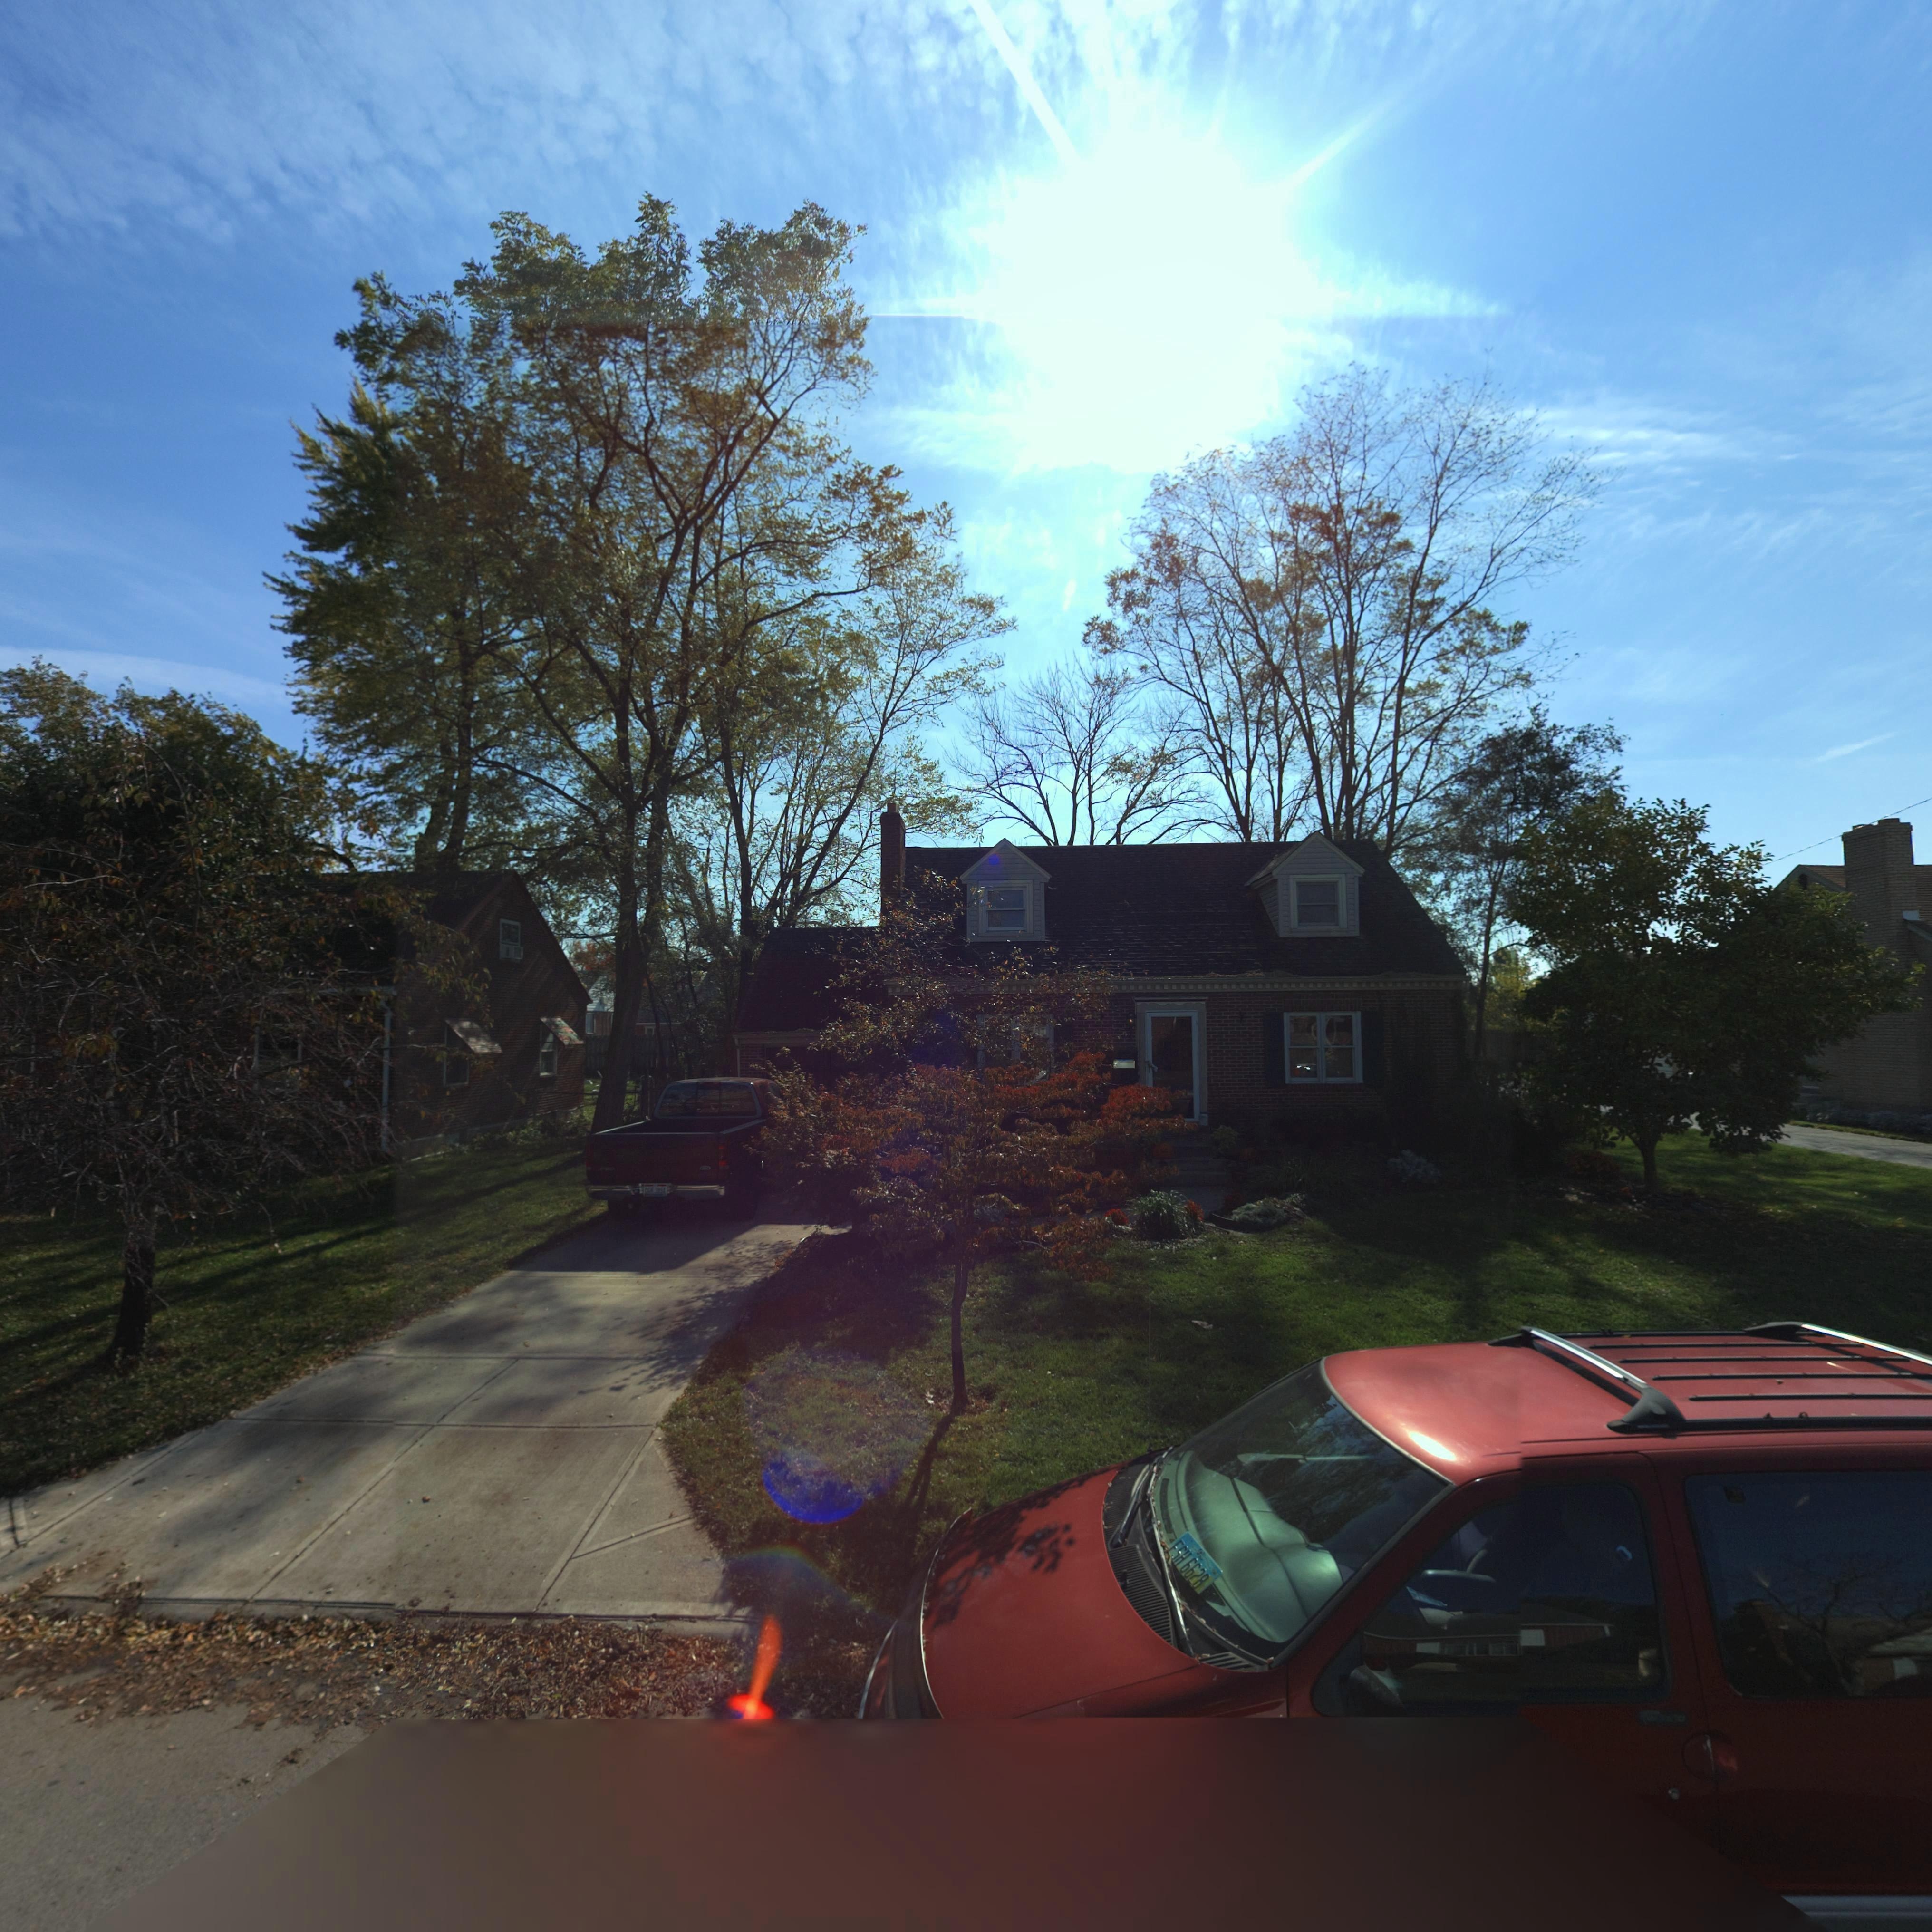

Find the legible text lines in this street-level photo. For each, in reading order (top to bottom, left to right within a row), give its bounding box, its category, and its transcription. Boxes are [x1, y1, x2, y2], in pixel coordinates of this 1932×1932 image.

[645, 1187, 665, 1193] None: DGH*3*34
[1165, 1538, 1211, 1591] None: FSH*6628